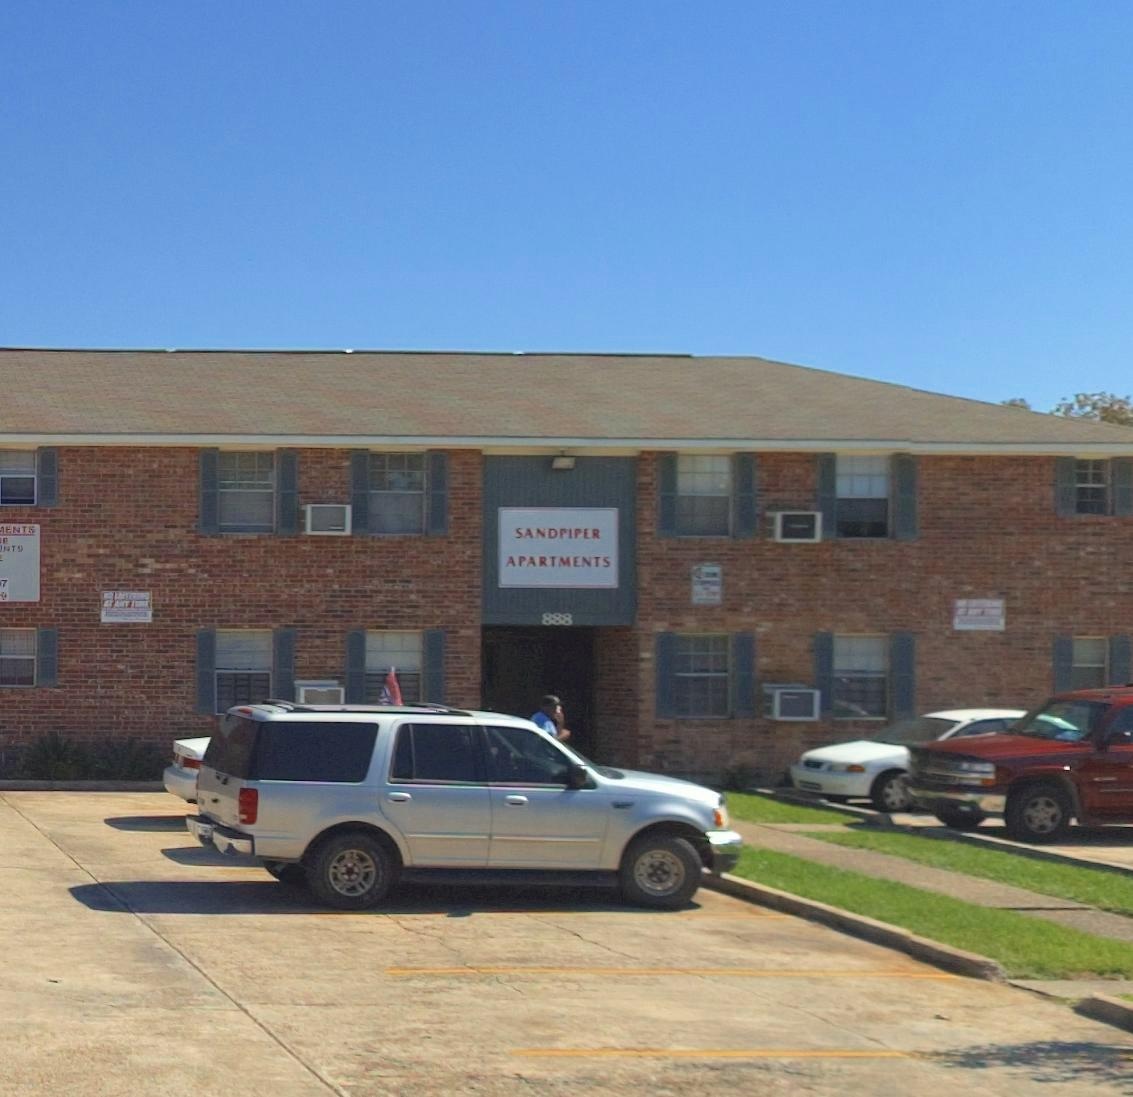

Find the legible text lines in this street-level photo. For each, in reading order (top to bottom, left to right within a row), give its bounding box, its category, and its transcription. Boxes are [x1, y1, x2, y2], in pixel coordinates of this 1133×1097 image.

[4, 523, 38, 536] None: ENTS
[513, 526, 602, 541] BusinessName: Sandpiper Apartments
[2, 543, 25, 555] None: NTS
[503, 552, 614, 570] BusinessName: APARTMENTS
[0, 578, 10, 589] None: 7
[0, 590, 9, 601] None: 9
[538, 610, 576, 628] StreetNumber: 888